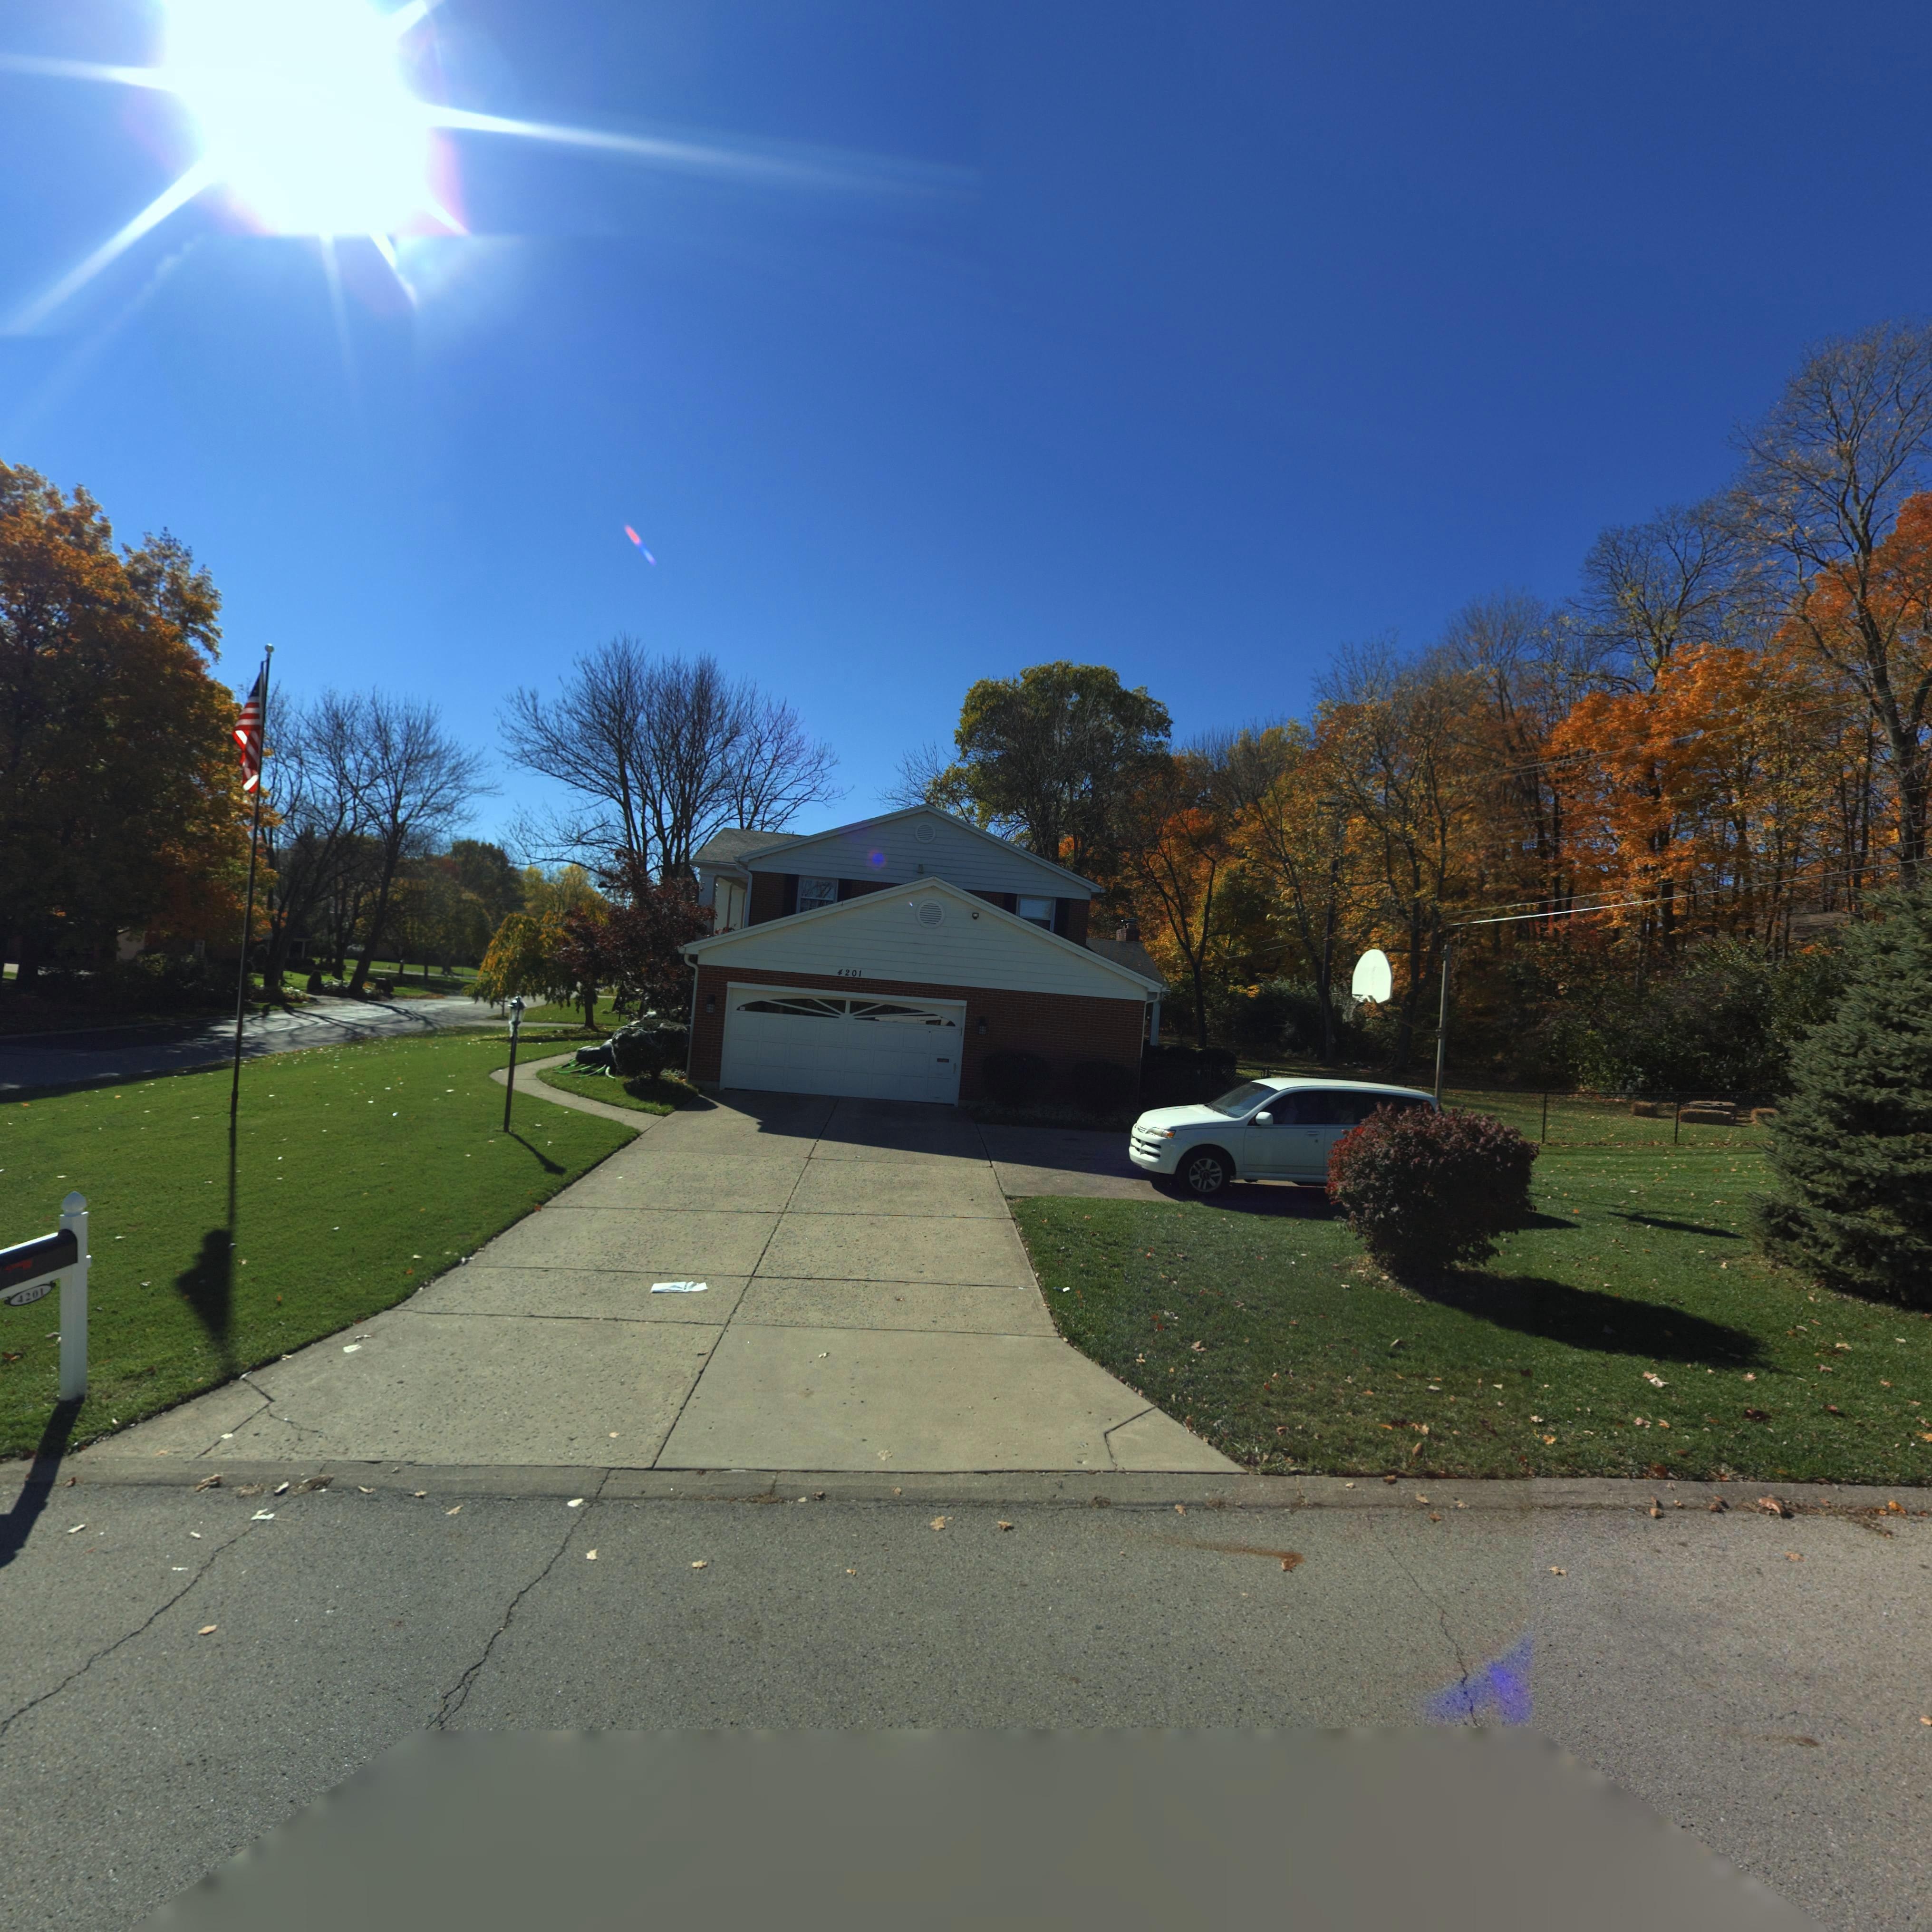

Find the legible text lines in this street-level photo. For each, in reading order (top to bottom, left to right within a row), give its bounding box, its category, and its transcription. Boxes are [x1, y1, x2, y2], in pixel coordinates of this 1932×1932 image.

[836, 968, 862, 978] StreetNumber: 4201
[16, 1286, 45, 1305] StreetNumber: 4201